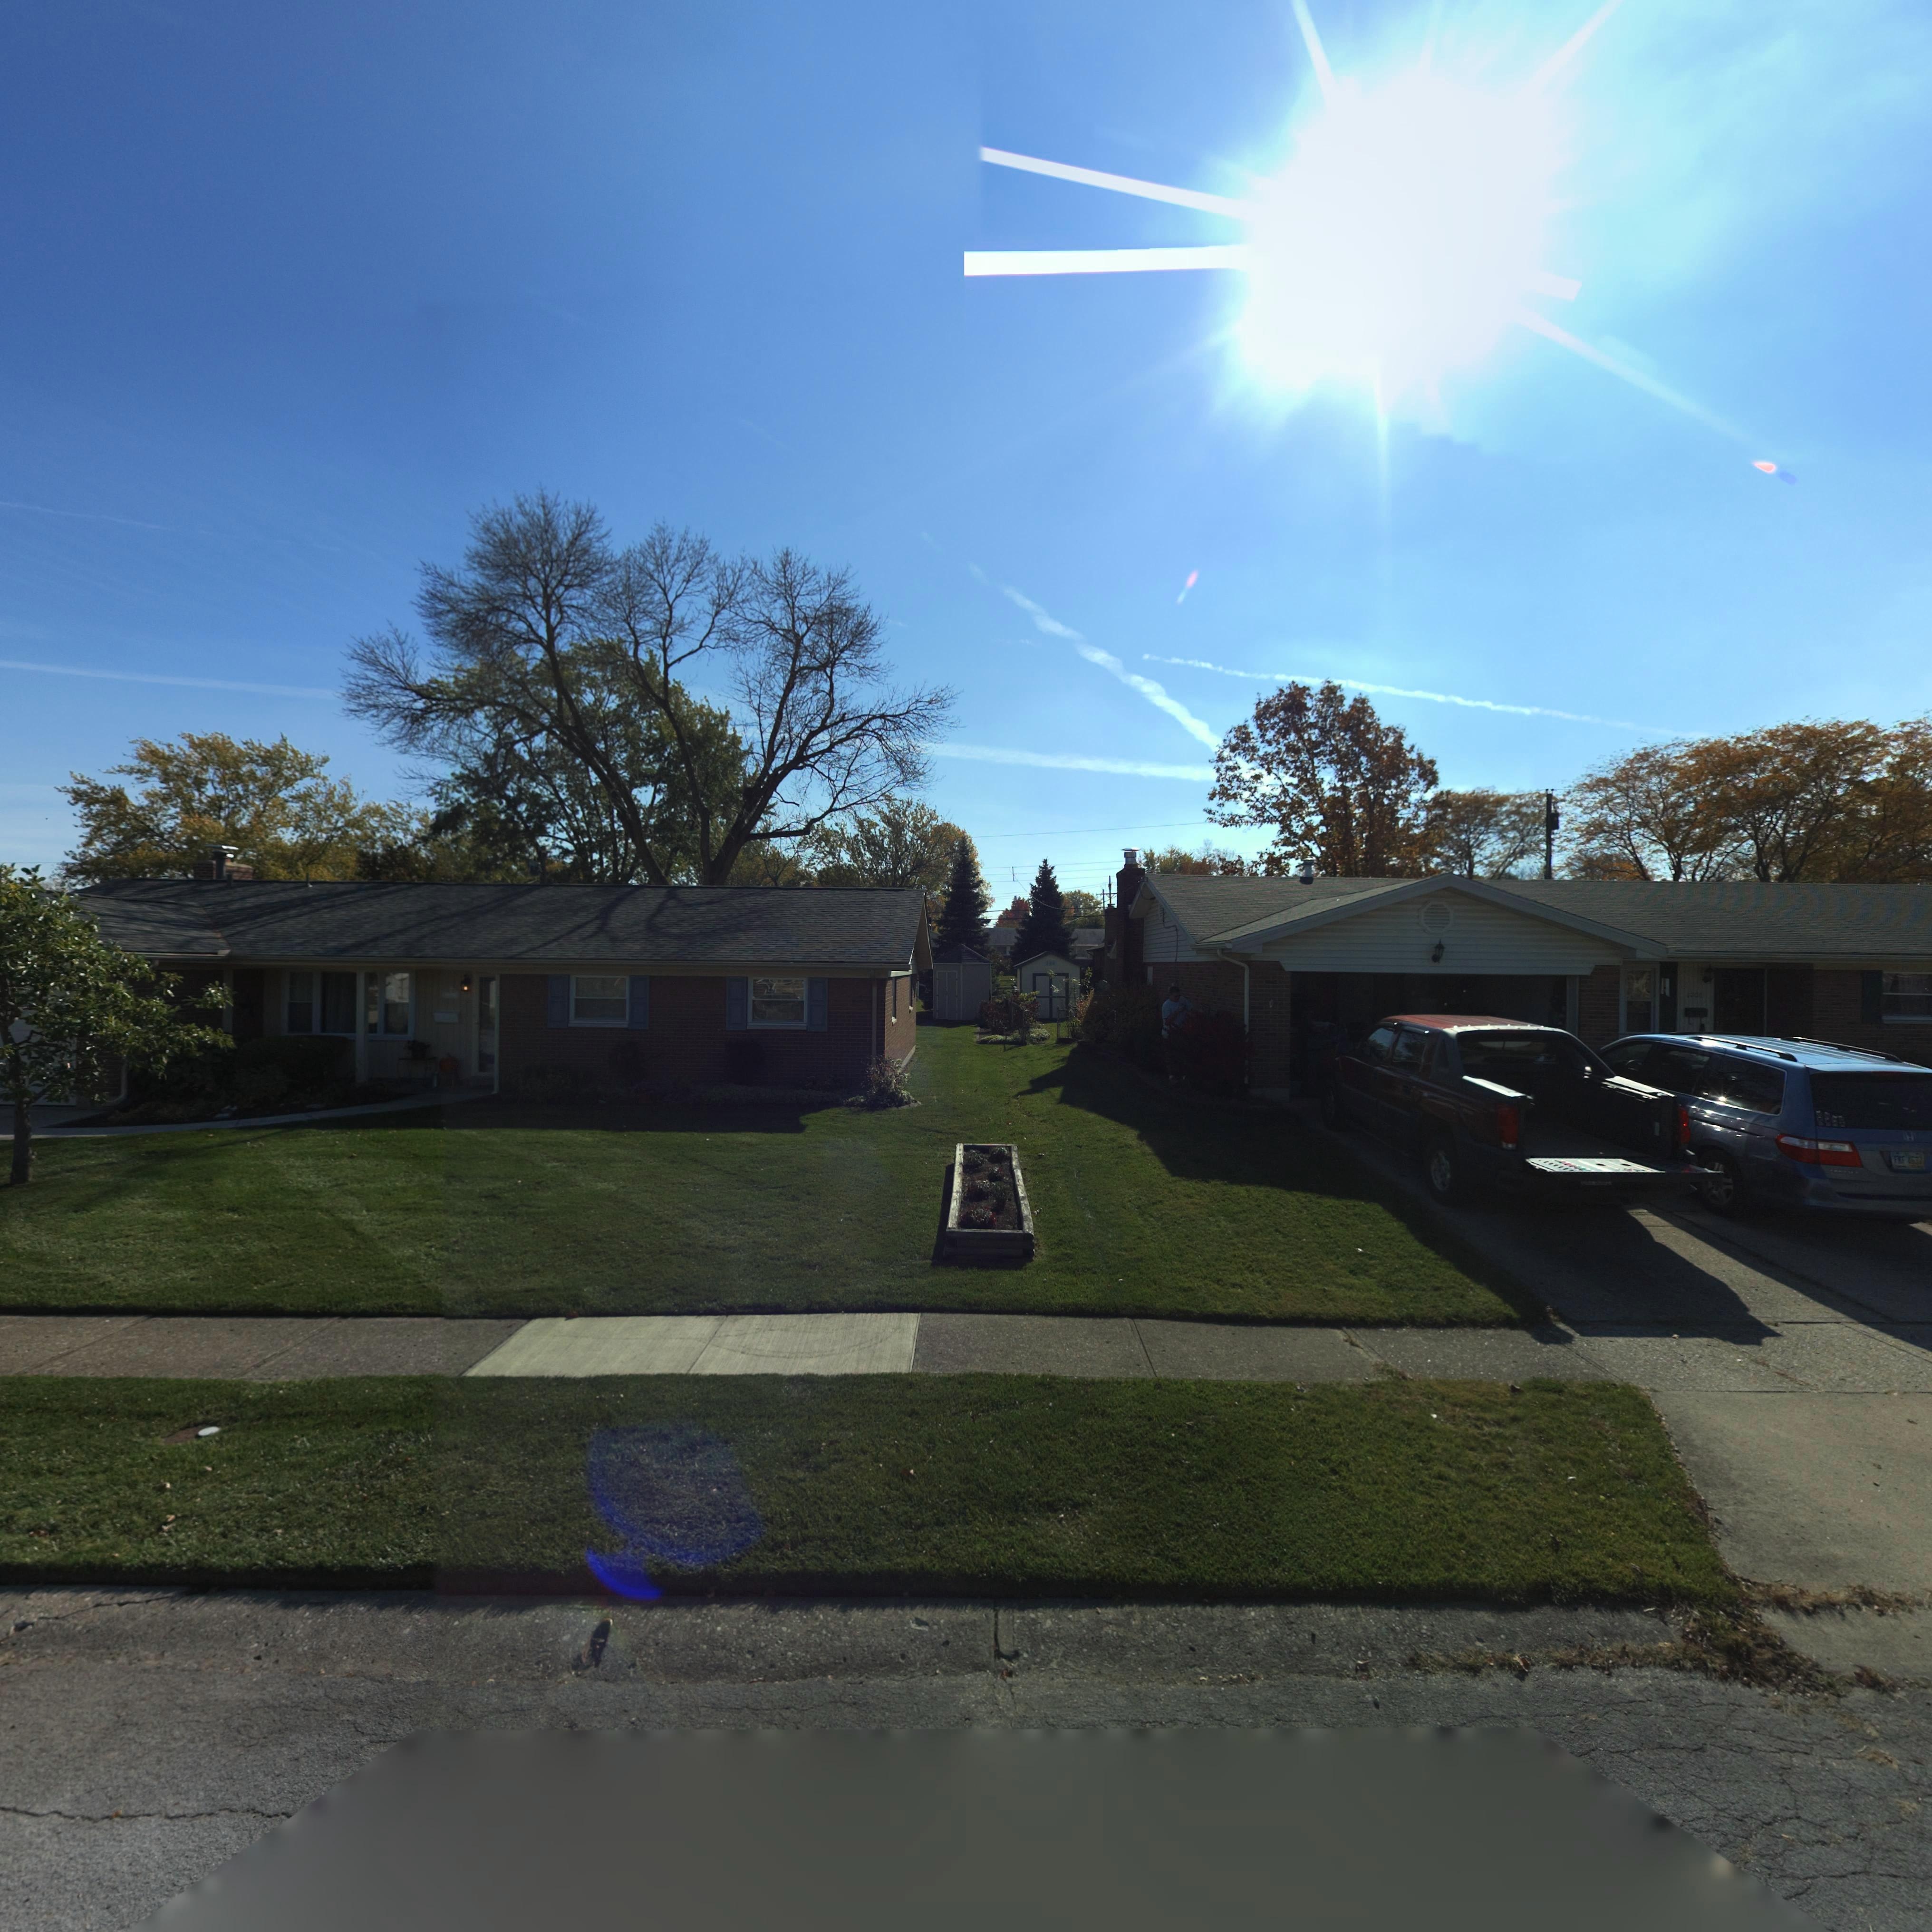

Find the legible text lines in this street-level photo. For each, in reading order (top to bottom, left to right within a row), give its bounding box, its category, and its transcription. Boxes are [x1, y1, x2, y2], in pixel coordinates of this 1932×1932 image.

[1686, 992, 1703, 999] StreetNumber: 1006